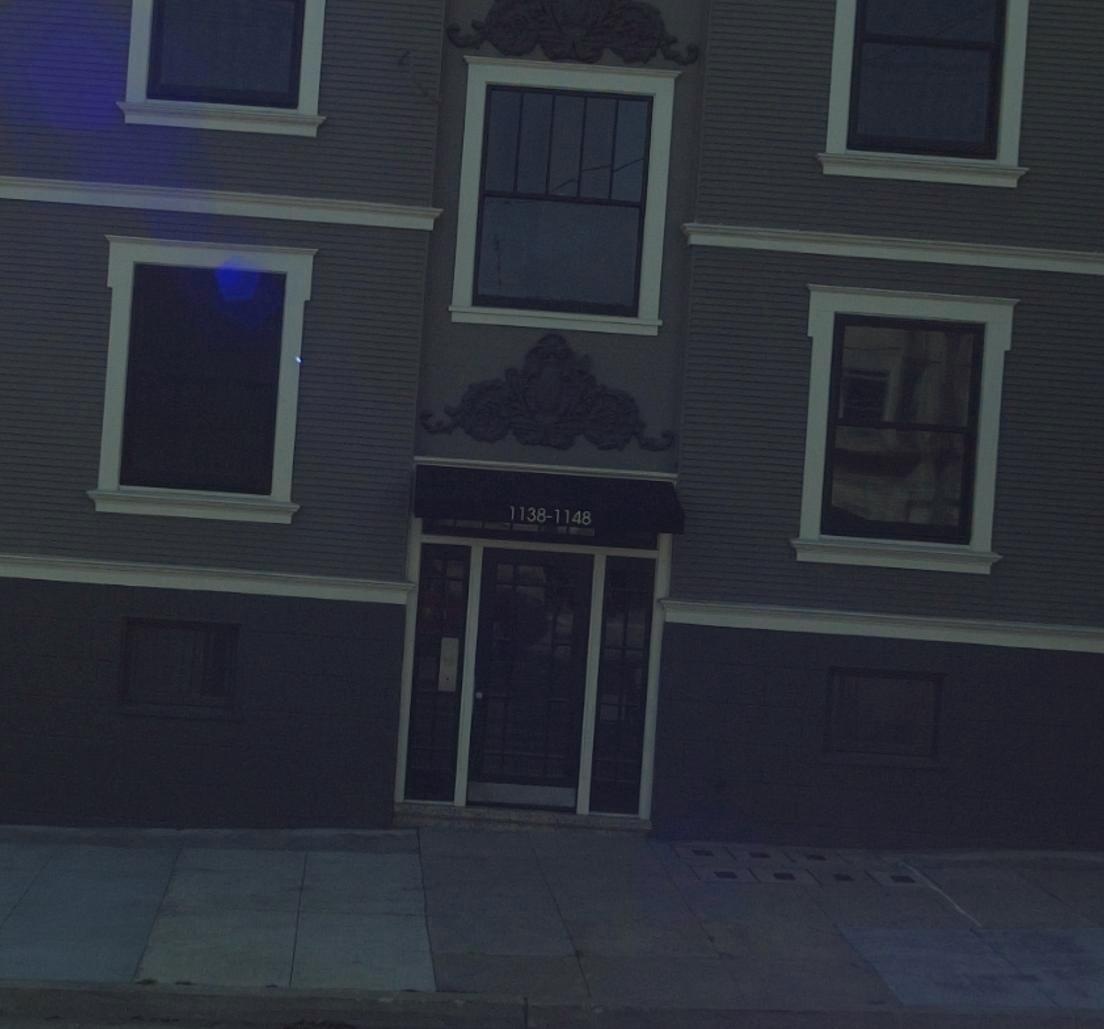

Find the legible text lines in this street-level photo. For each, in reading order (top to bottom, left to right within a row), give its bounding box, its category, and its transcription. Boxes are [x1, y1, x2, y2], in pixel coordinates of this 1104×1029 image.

[508, 505, 548, 523] StreetNumber: 1138
[555, 509, 592, 526] StreetNumber: 1148